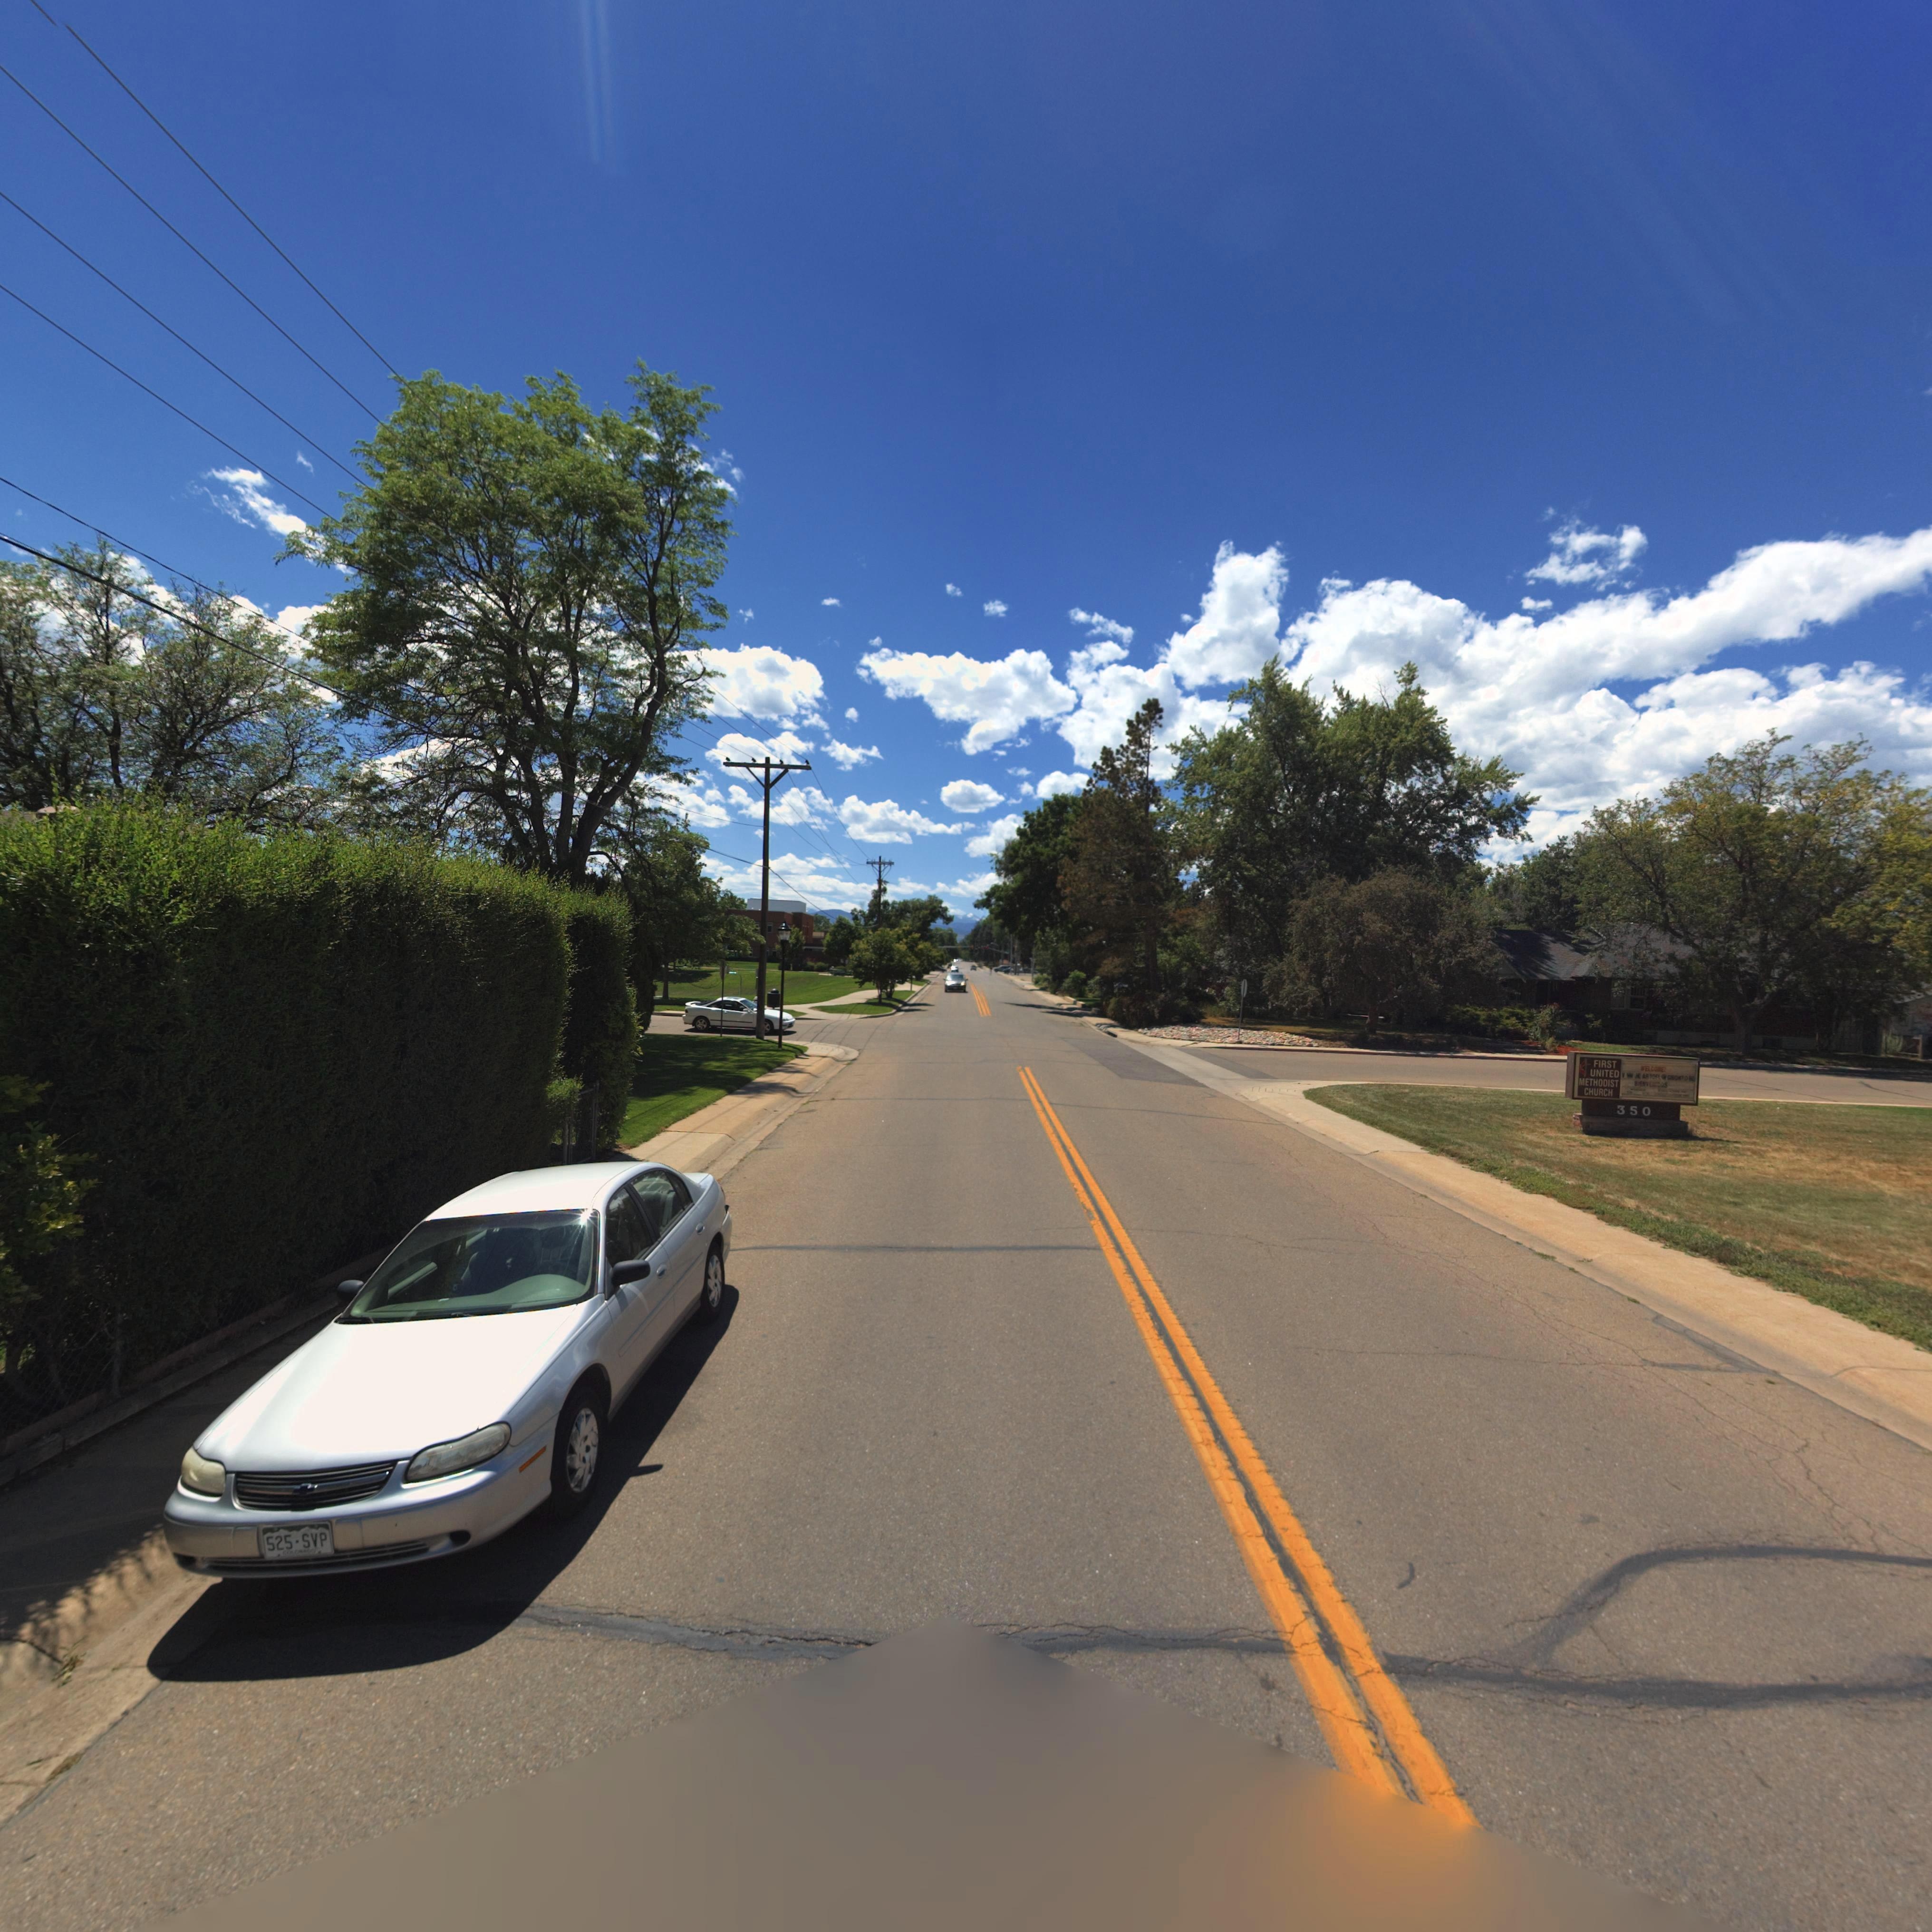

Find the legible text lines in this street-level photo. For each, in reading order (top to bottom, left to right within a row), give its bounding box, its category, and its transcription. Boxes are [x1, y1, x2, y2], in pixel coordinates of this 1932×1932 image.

[1593, 1059, 1617, 1069] BusinessName: FIRST
[1590, 1068, 1619, 1078] BusinessName: UNITED
[1578, 1077, 1619, 1088] BusinessName: METHODIST
[1584, 1087, 1613, 1097] BusinessName: CHURCH
[1616, 1104, 1651, 1116] StreetNumber: 350